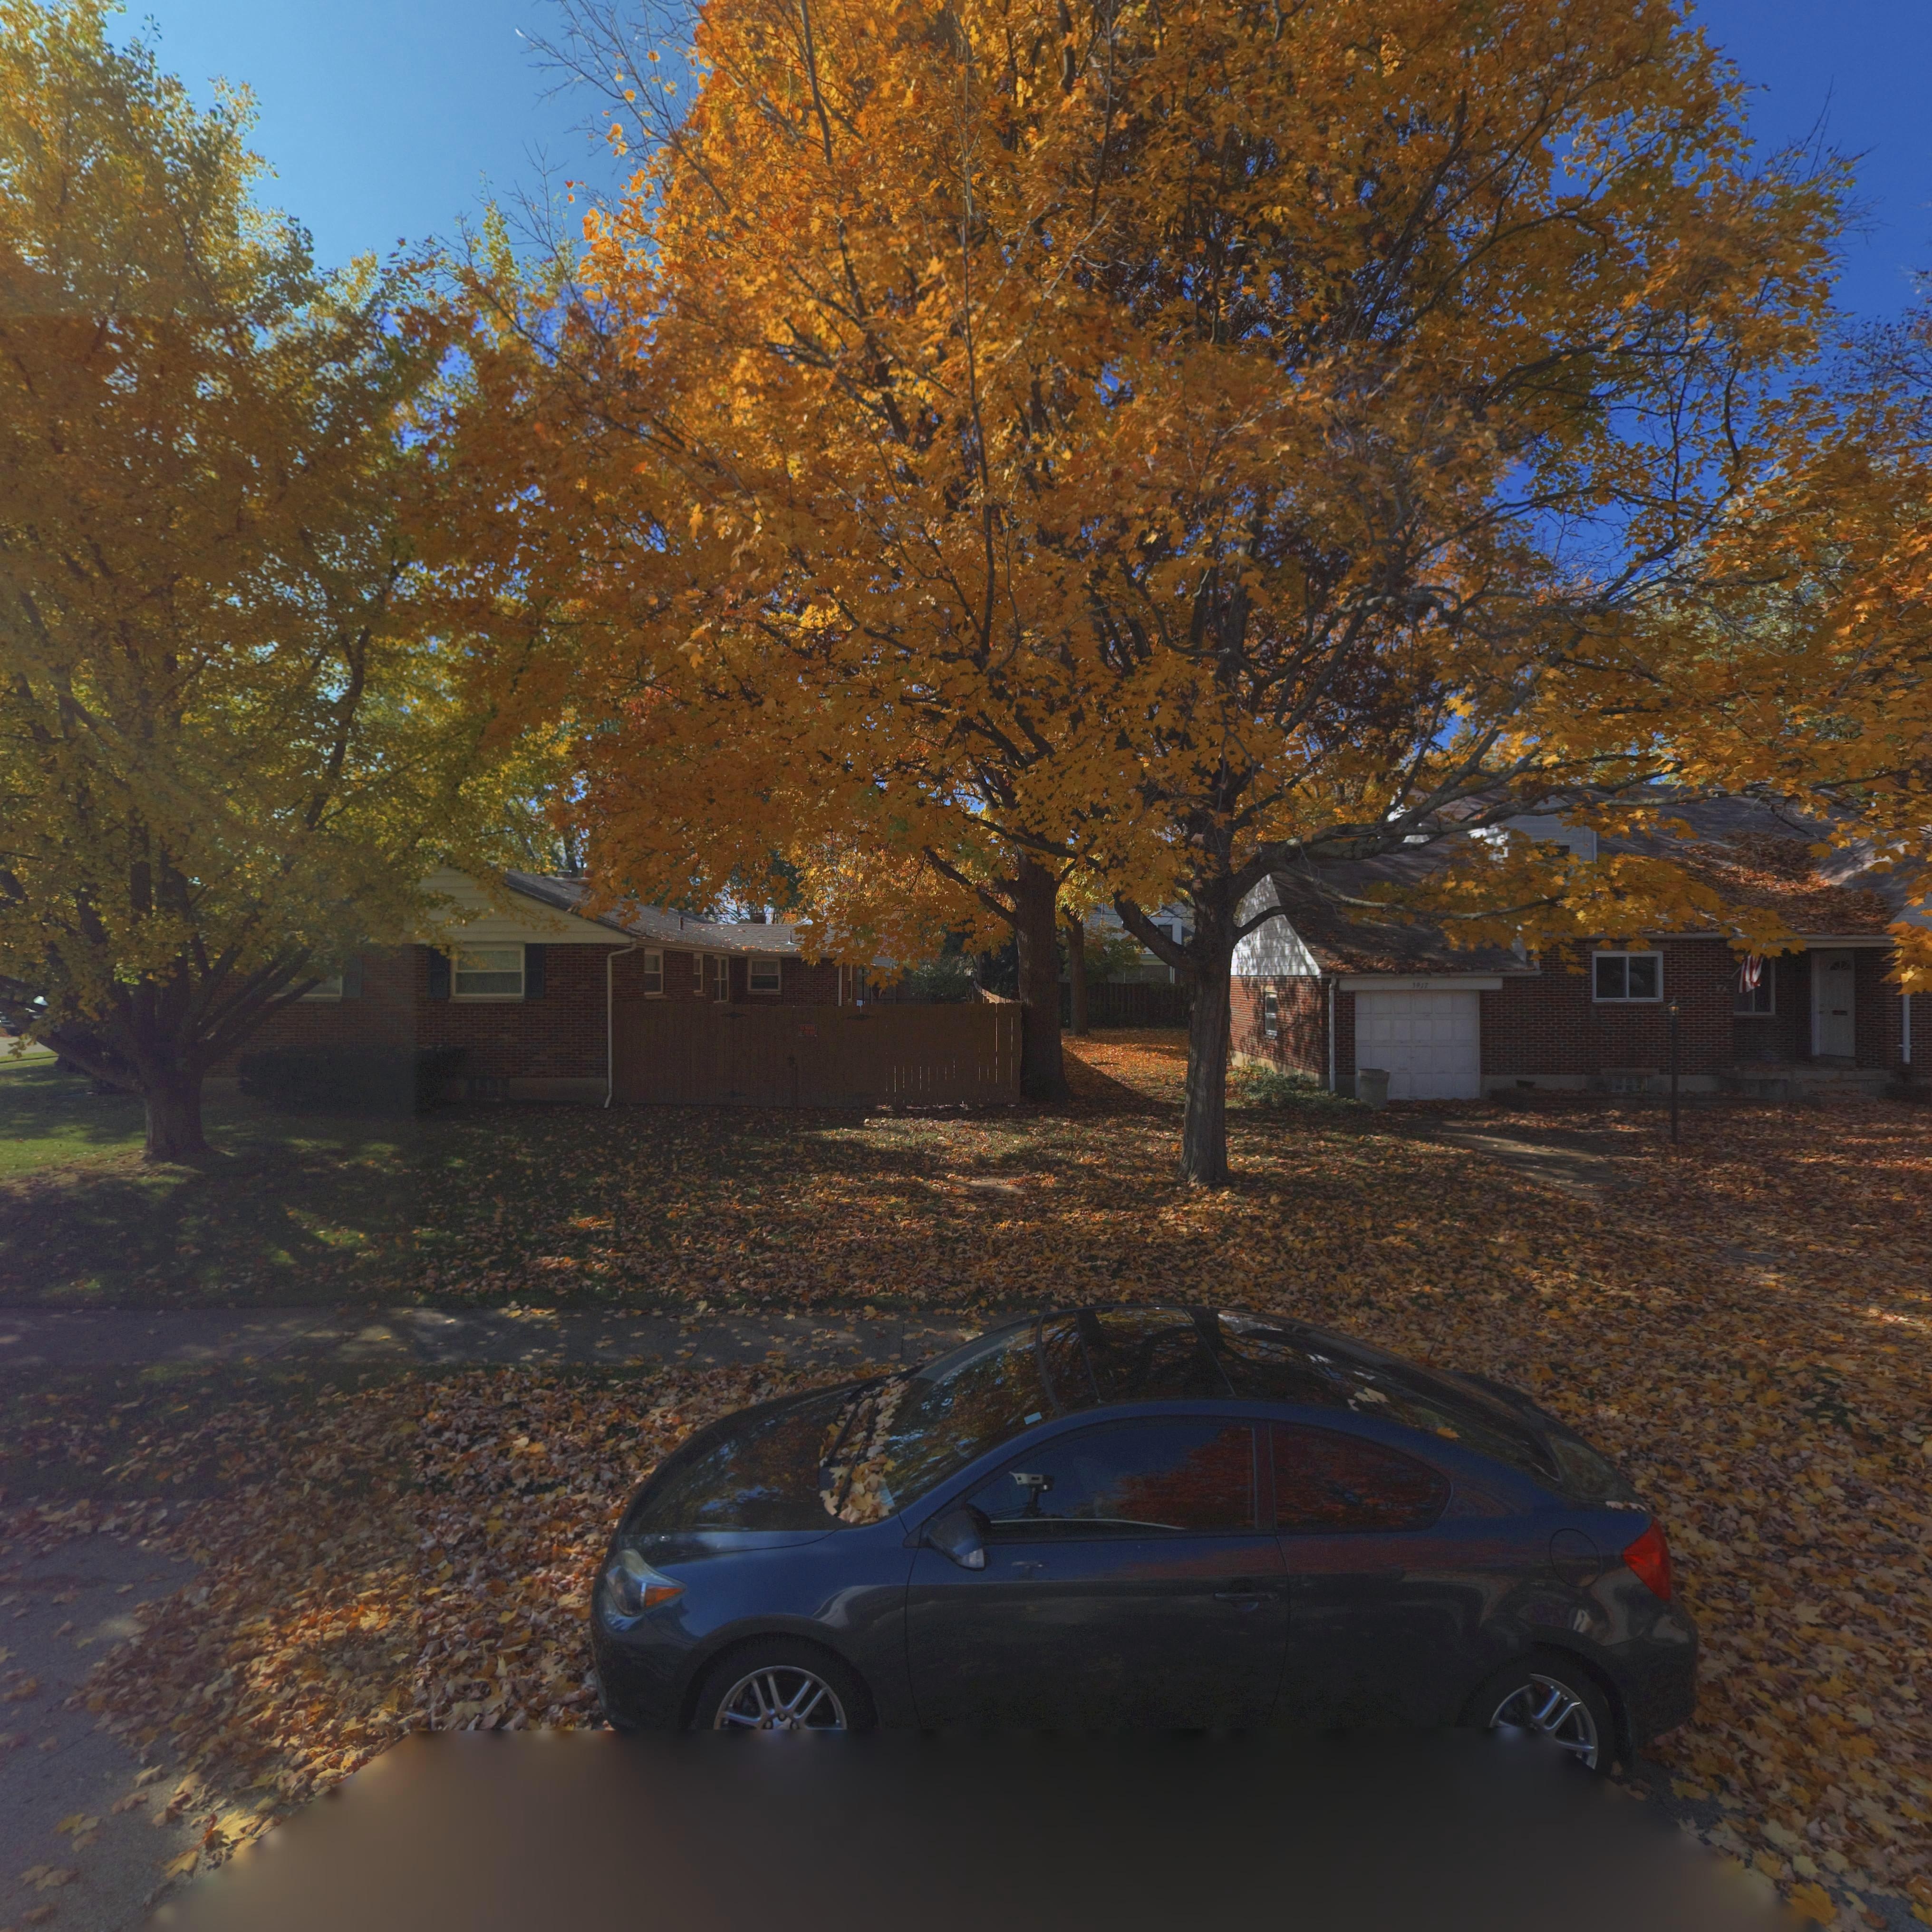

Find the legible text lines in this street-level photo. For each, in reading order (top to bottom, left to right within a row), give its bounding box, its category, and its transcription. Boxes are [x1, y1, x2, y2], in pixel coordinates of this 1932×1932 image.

[1410, 981, 1430, 990] StreetNumber: 3917